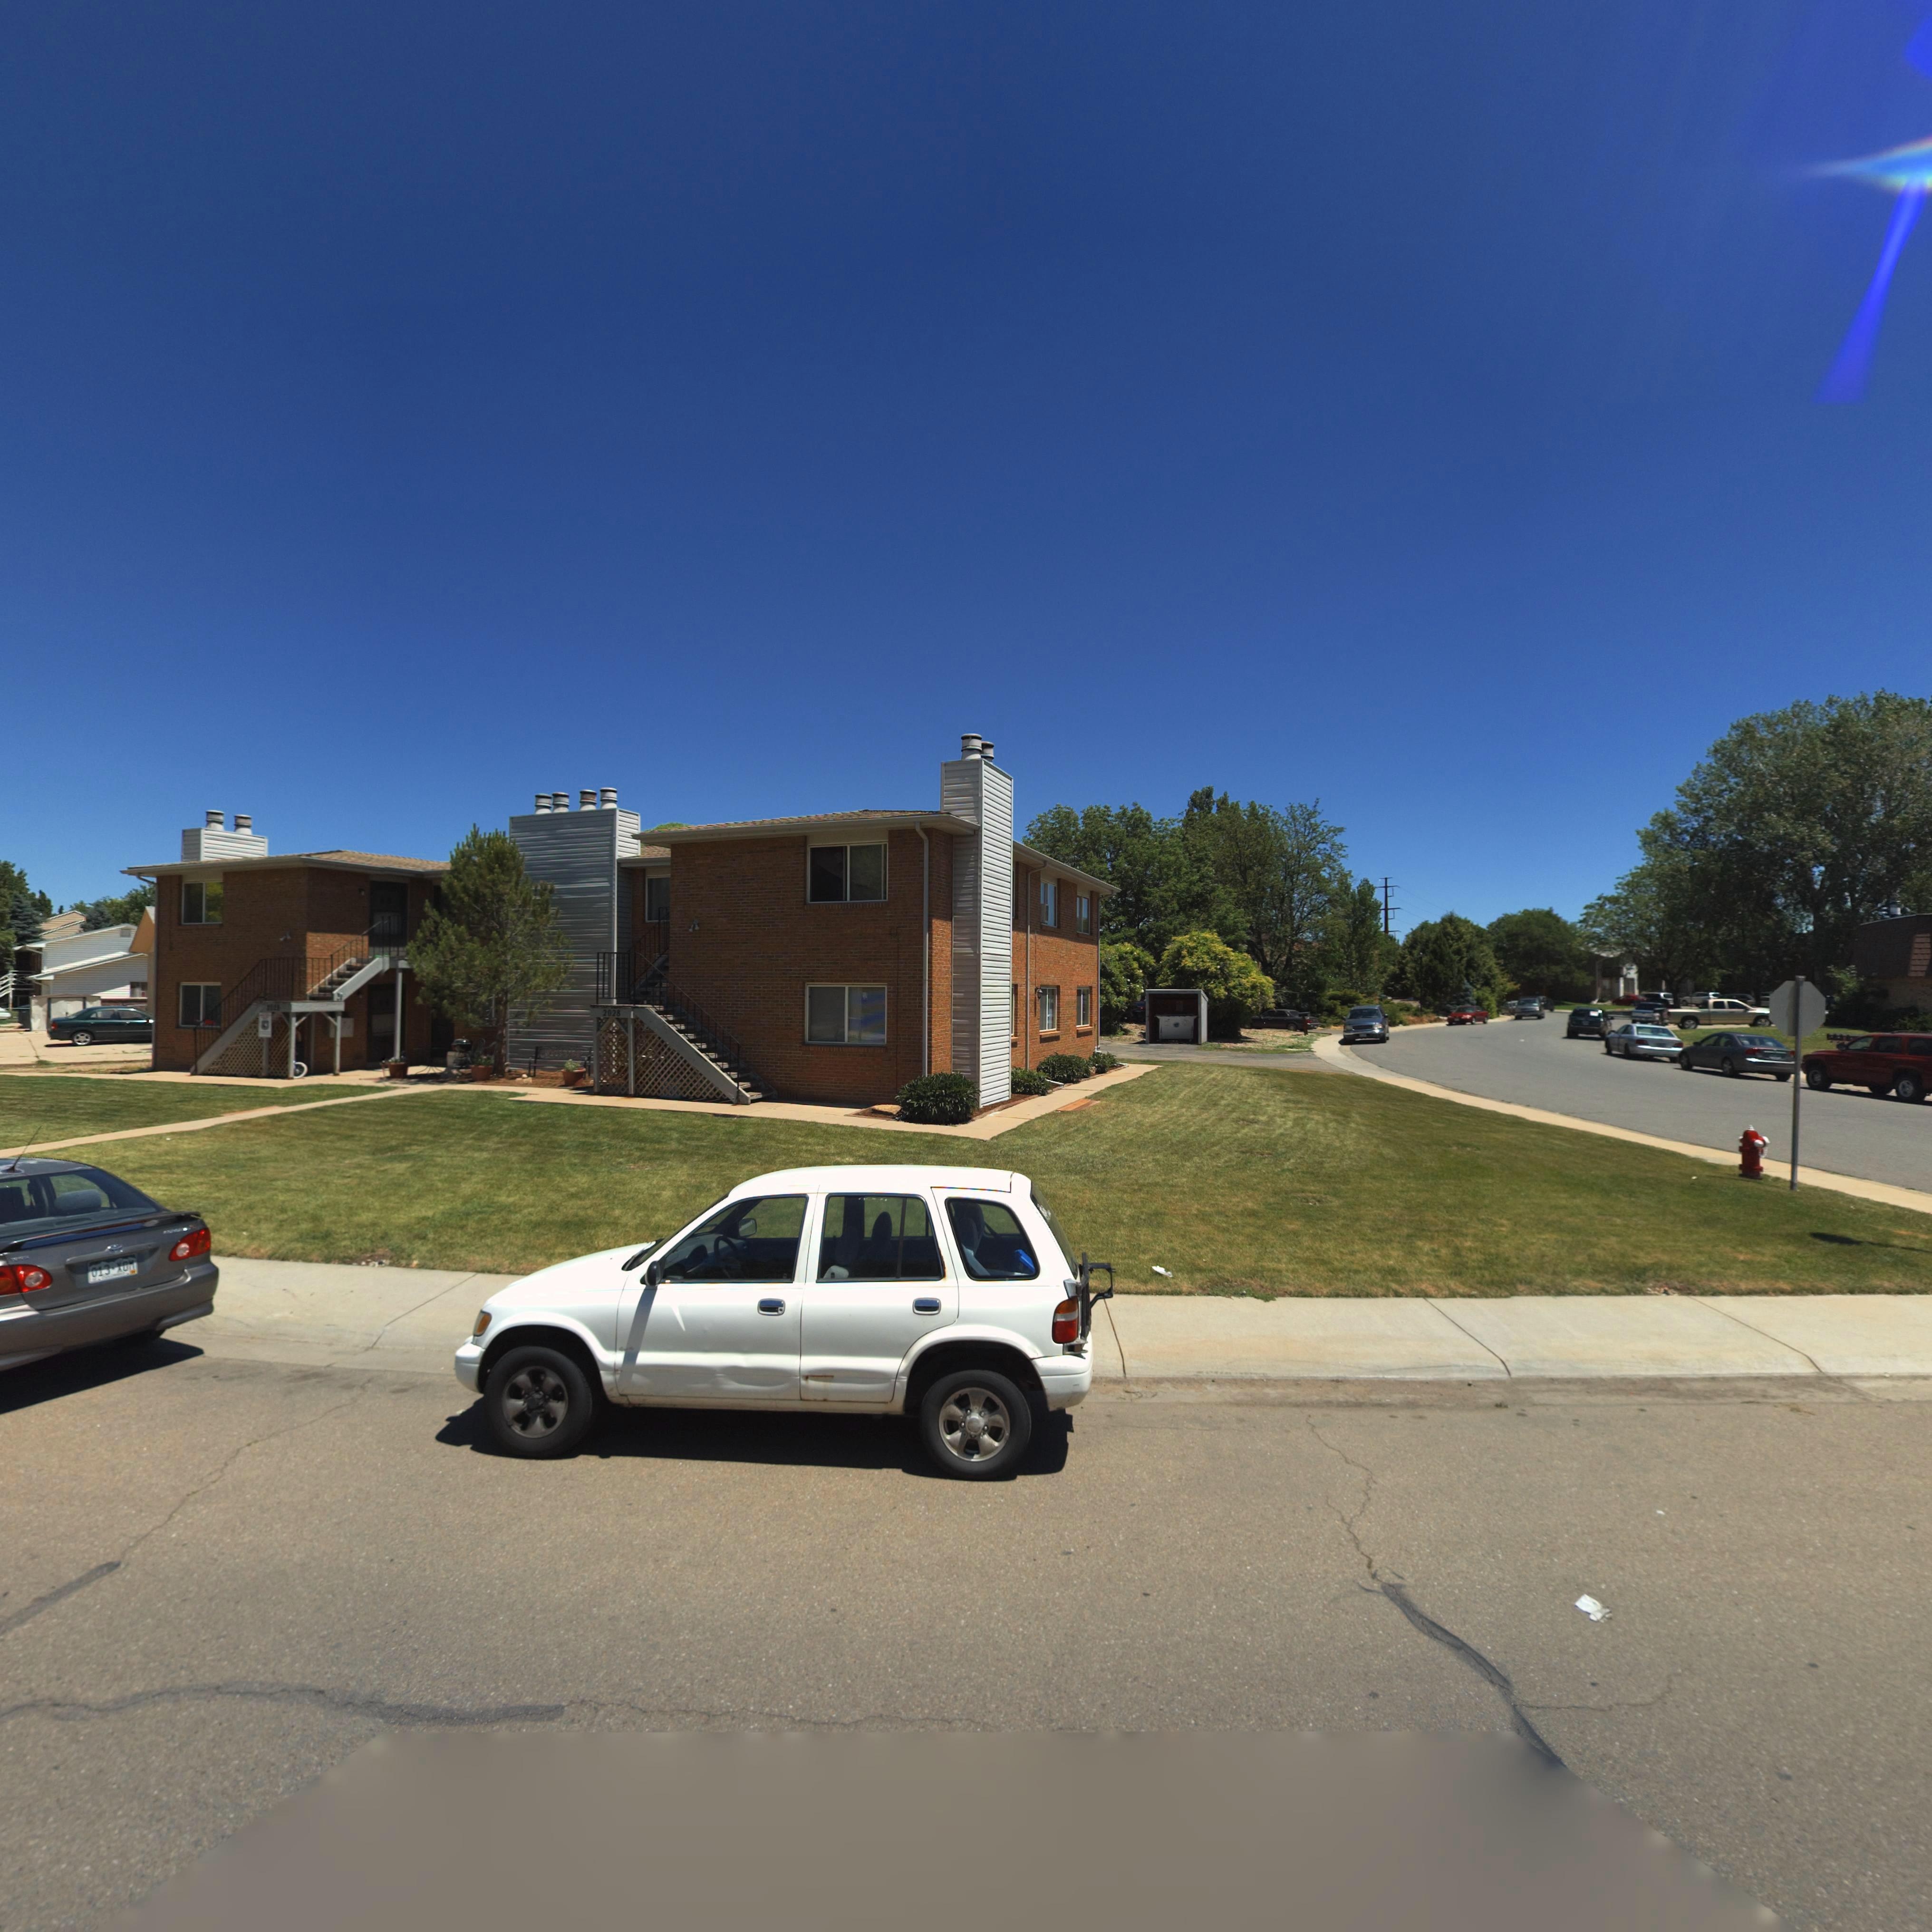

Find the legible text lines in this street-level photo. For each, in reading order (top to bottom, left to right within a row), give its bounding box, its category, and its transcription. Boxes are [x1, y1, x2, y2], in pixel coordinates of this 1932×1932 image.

[602, 1009, 620, 1016] StreetNumber: 2028